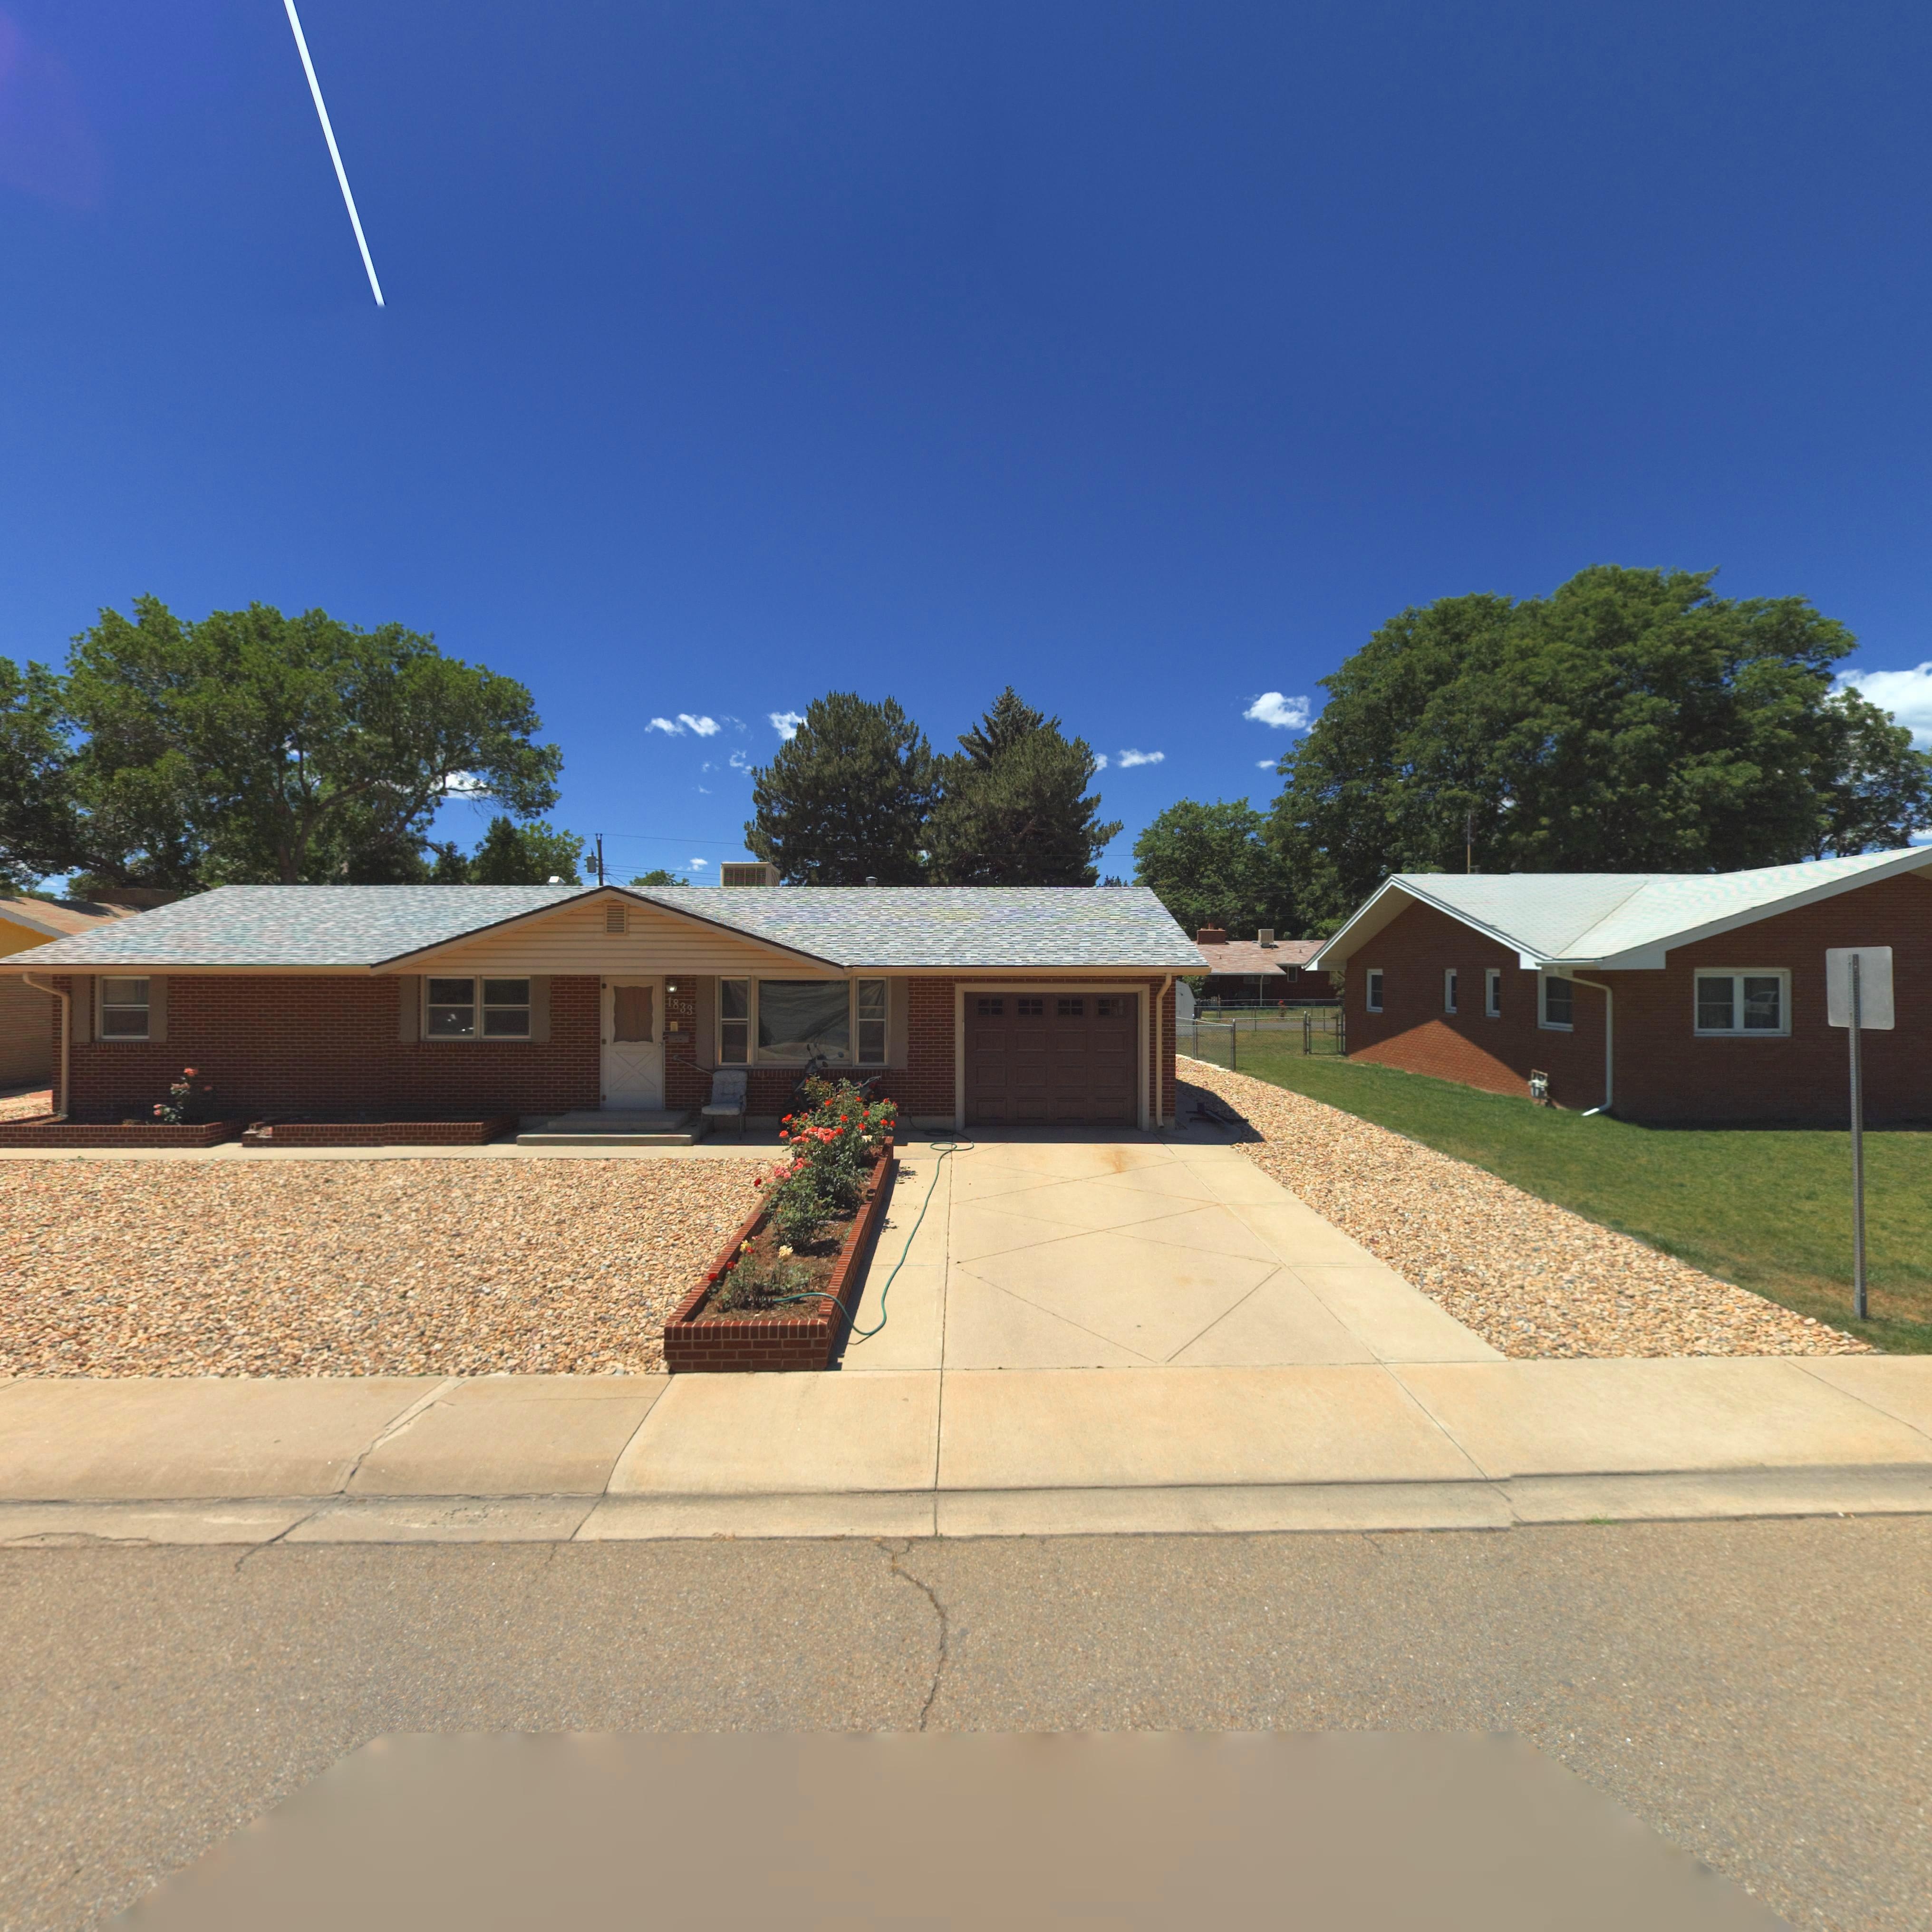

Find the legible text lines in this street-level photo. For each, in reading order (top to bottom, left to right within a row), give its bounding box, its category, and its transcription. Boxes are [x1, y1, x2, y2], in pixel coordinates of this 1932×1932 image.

[667, 995, 693, 1016] StreetNumber: 1833